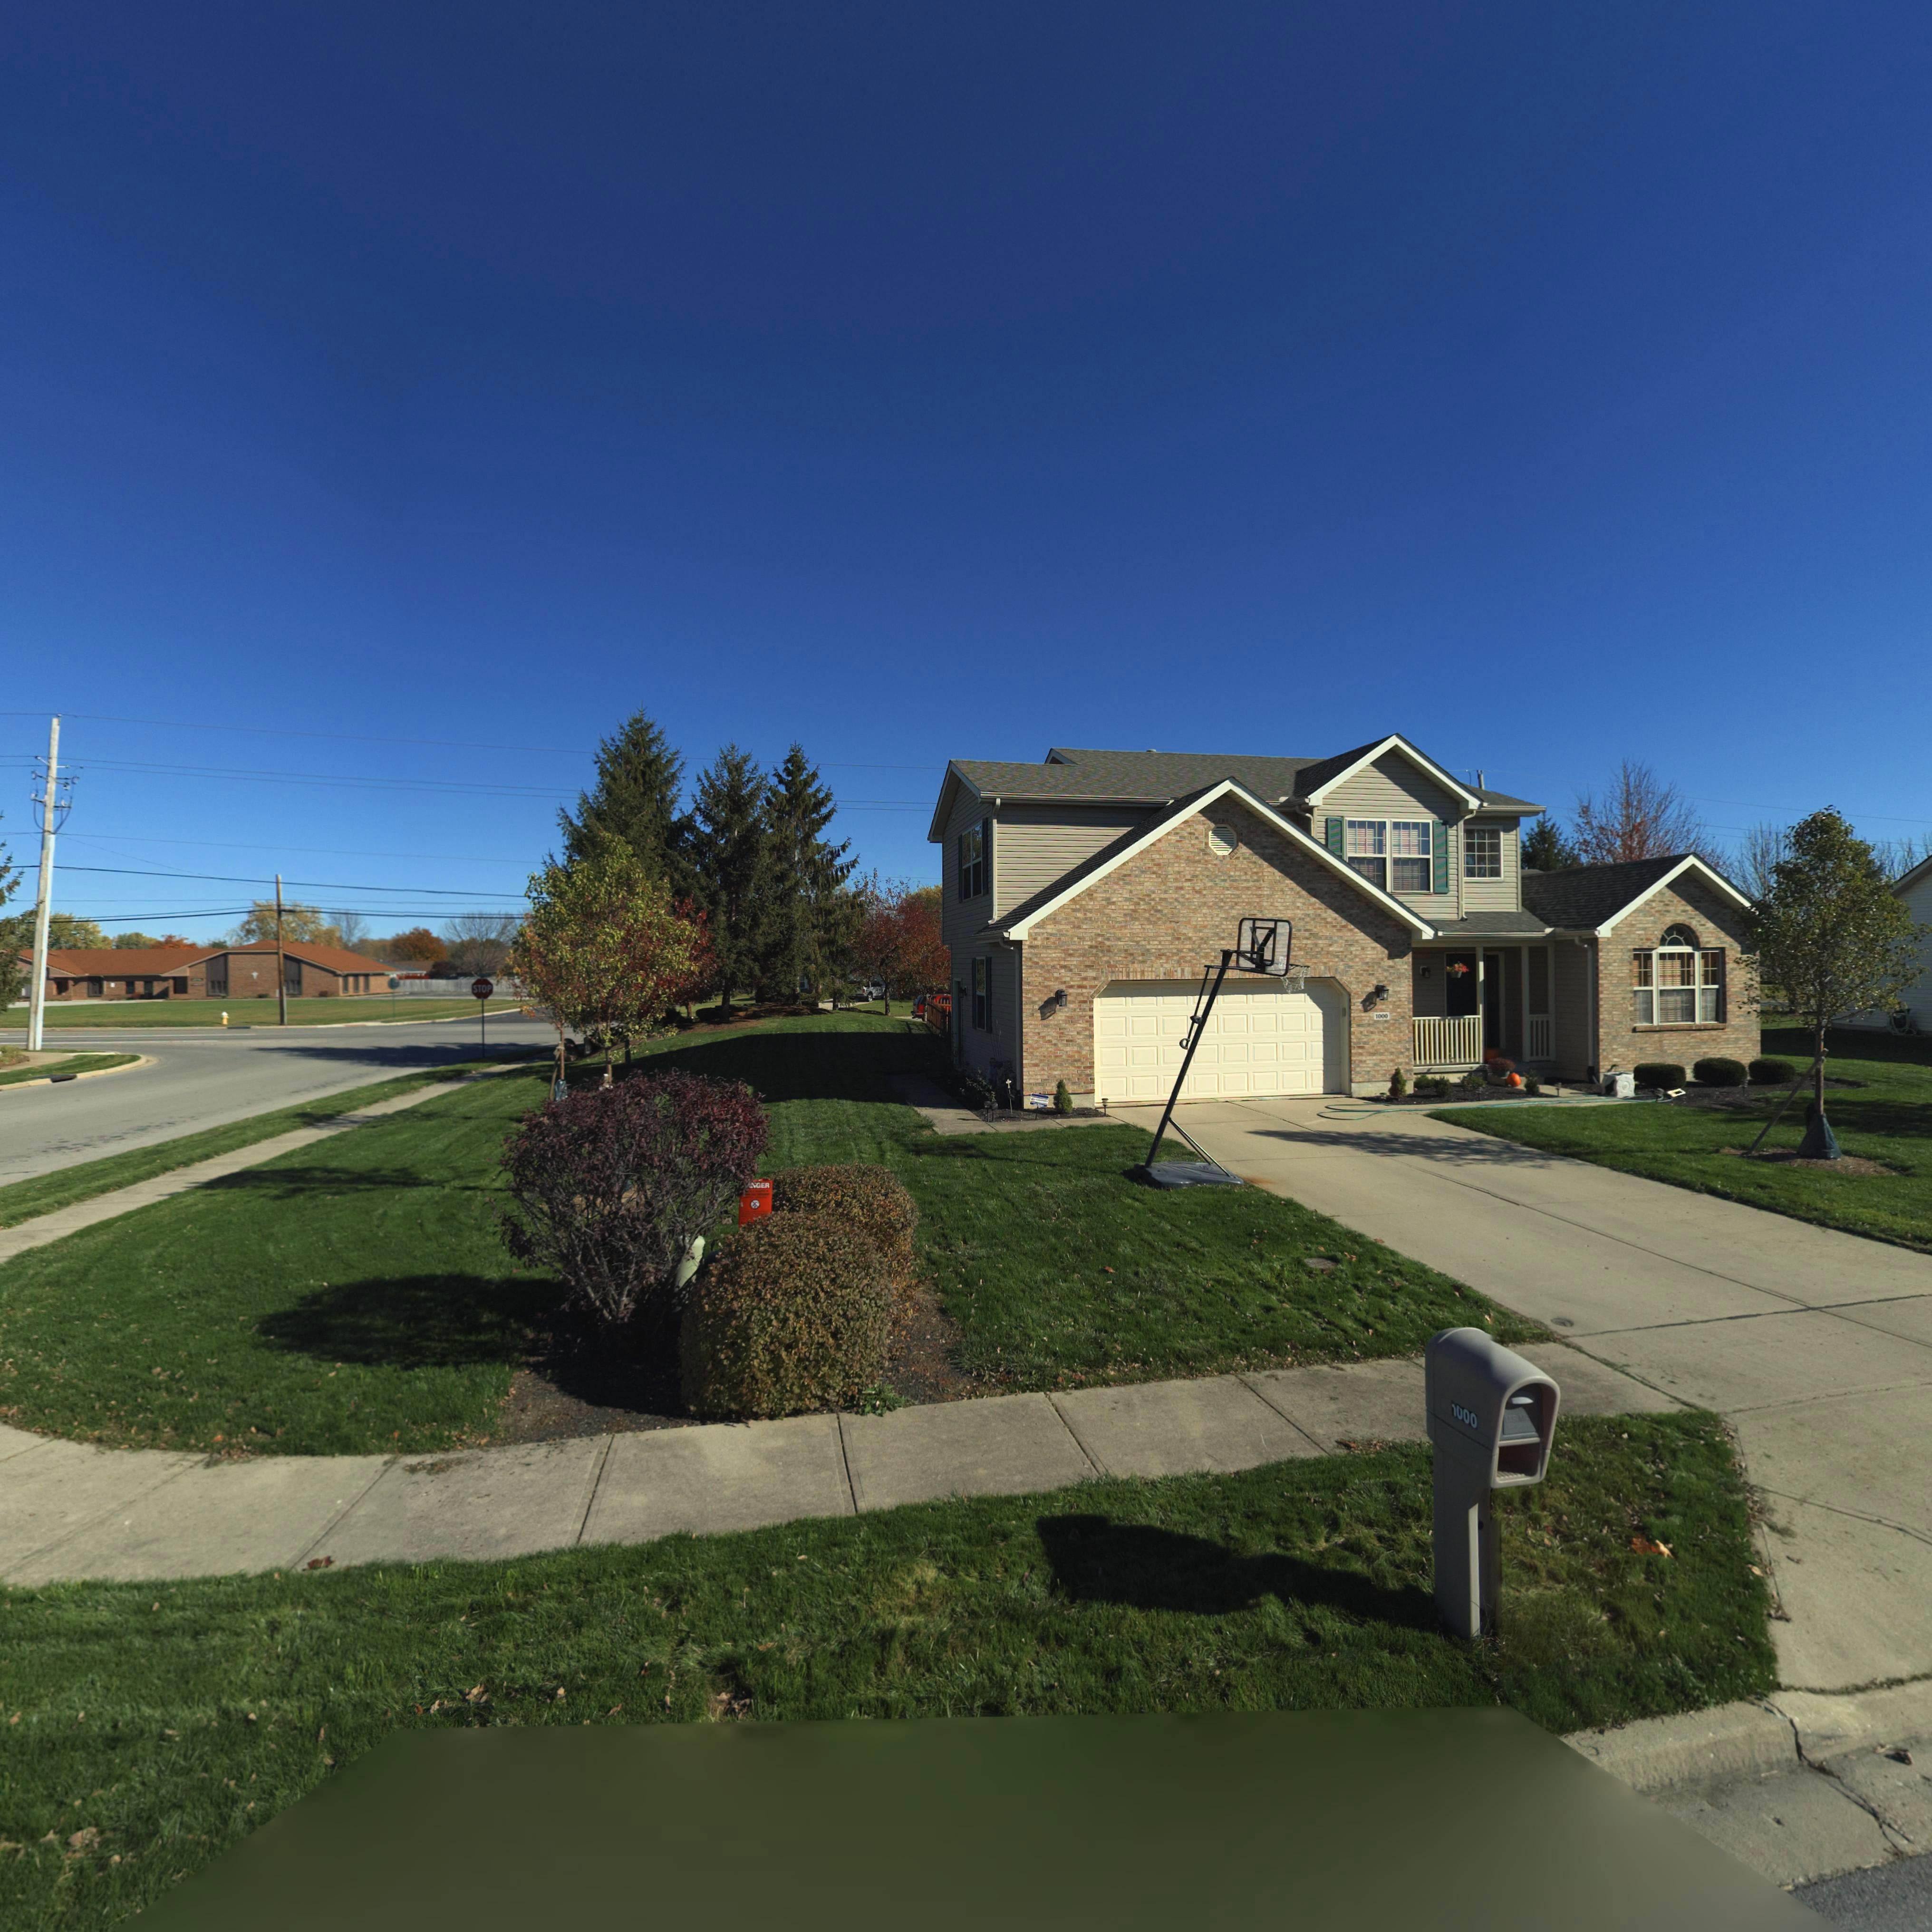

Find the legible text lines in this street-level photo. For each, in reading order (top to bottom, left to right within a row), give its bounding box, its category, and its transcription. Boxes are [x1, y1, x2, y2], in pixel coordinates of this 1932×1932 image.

[1375, 1013, 1389, 1019] StreetNumber: 1000
[1451, 1401, 1478, 1429] StreetNumber: 1000